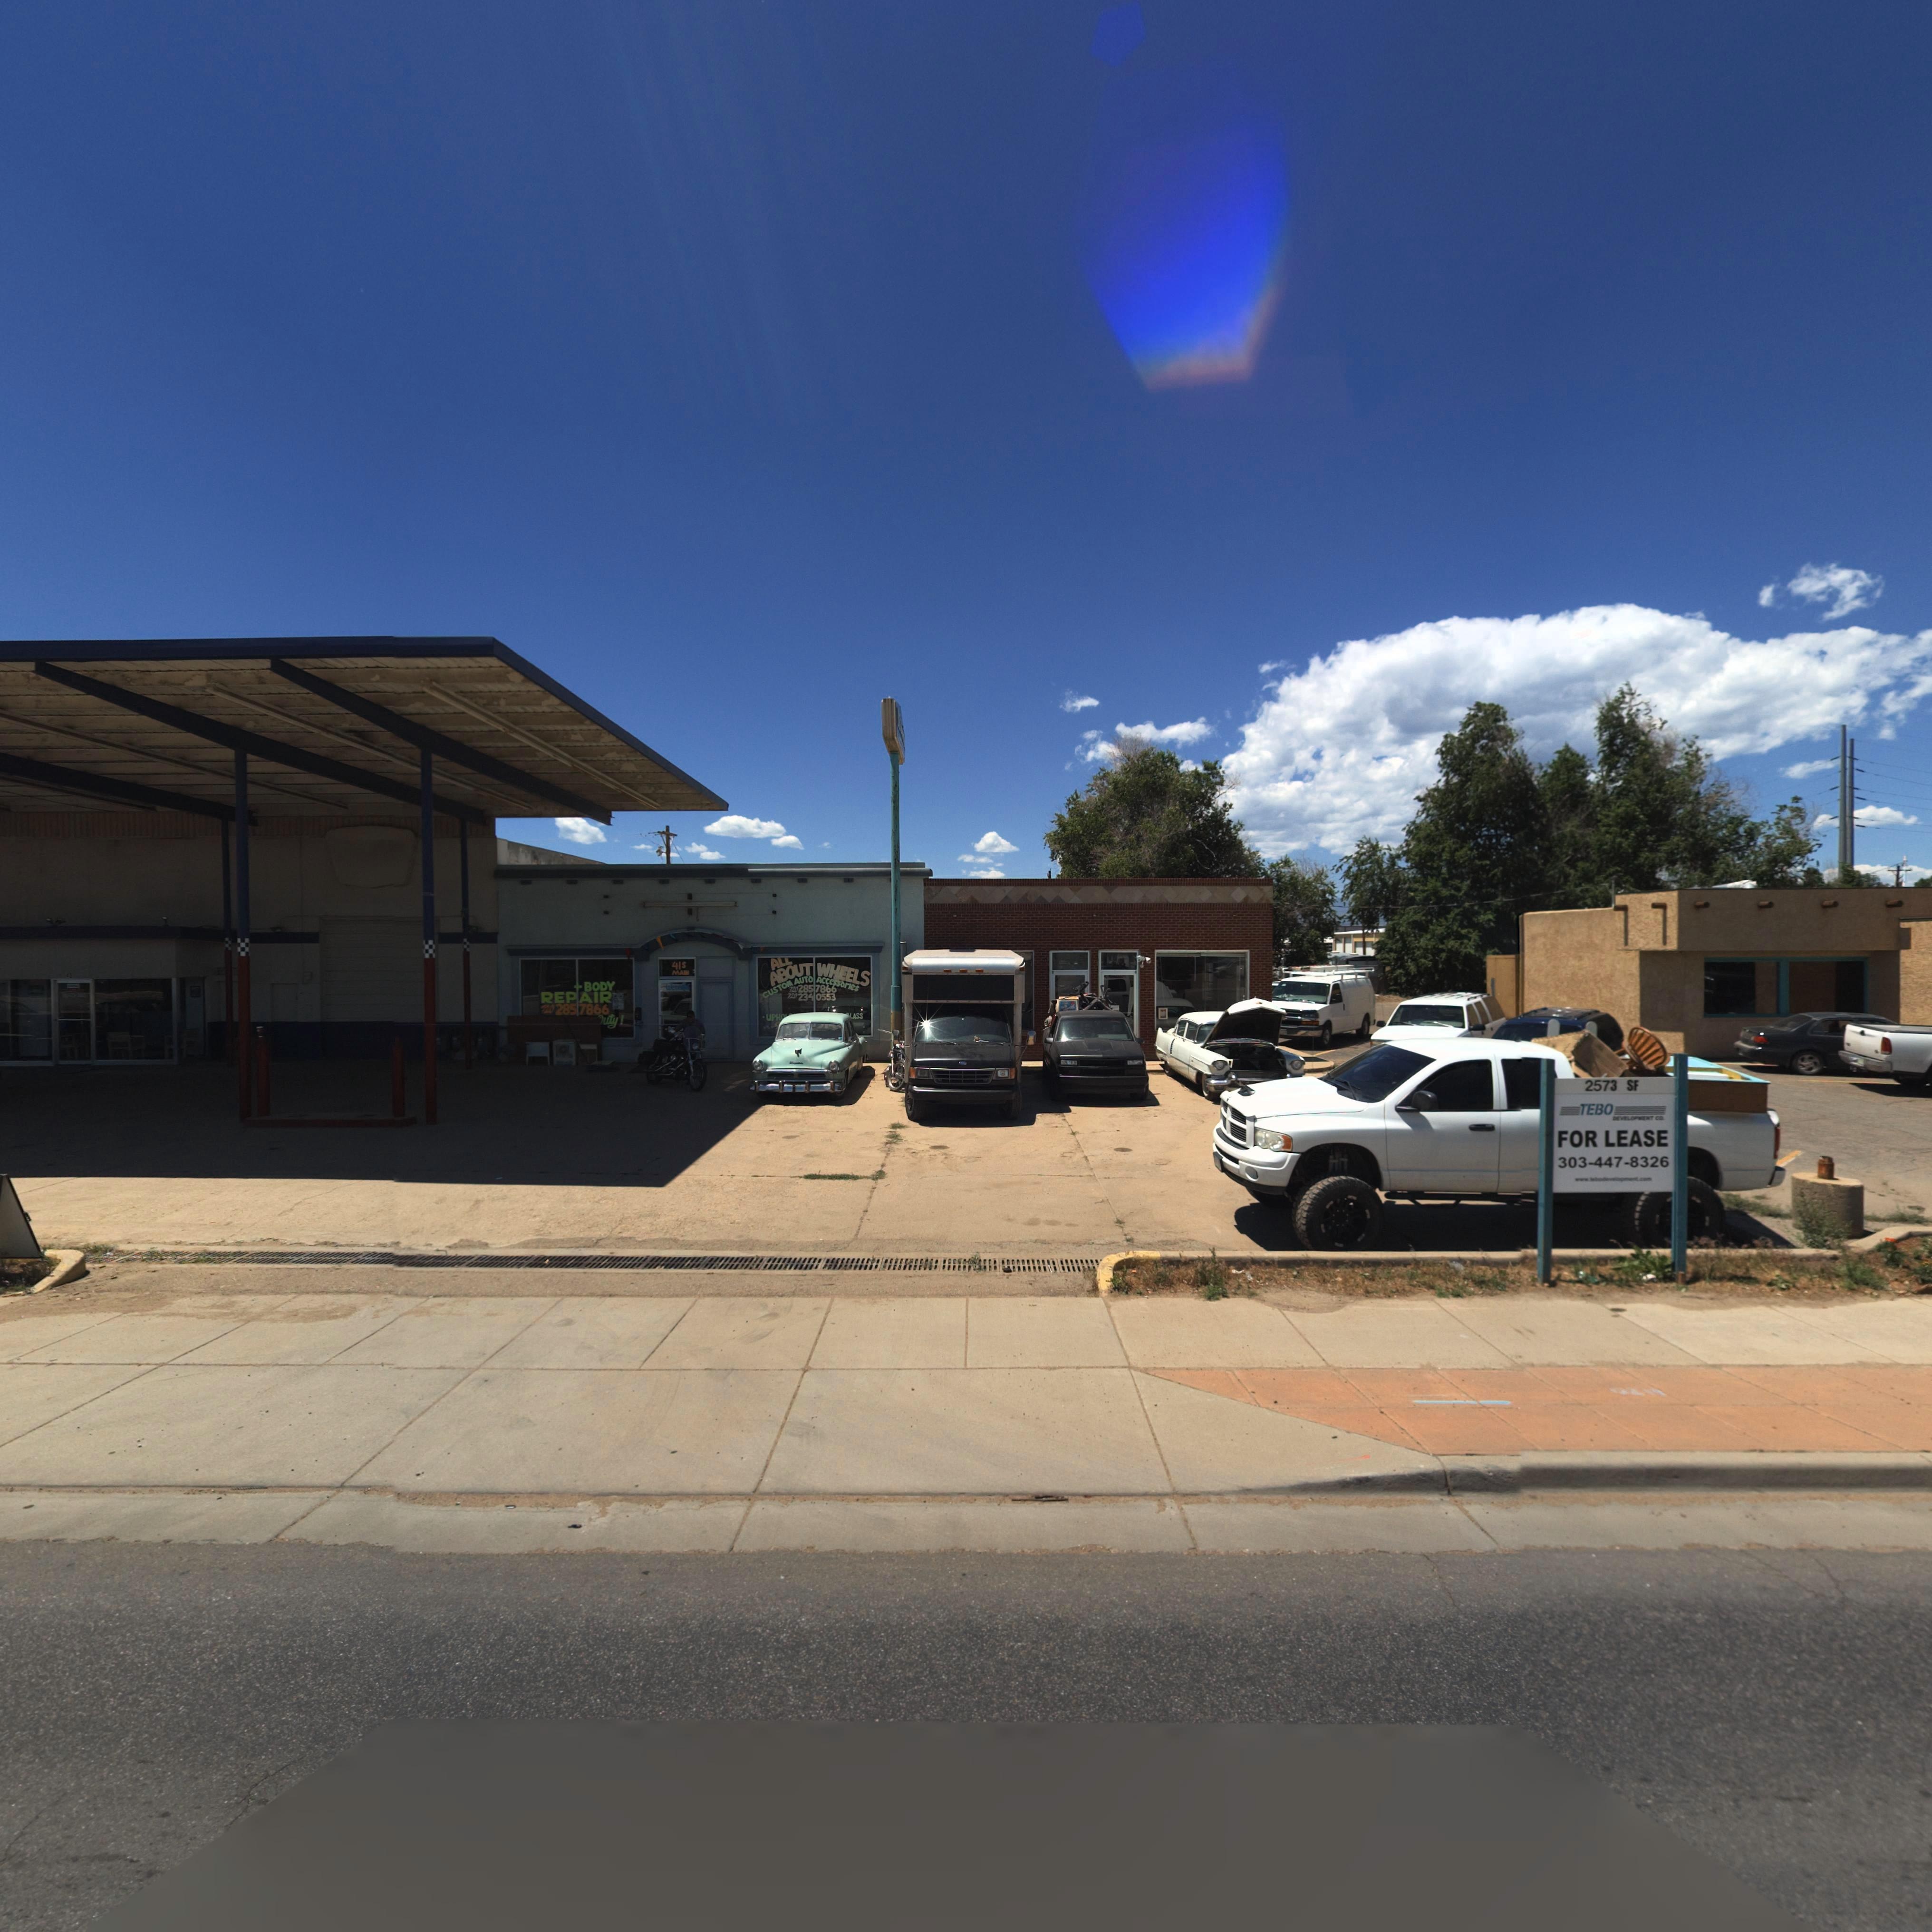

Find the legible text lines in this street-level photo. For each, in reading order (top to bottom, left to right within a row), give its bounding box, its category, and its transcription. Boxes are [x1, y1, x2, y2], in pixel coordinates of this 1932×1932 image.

[670, 960, 686, 969] StreetNumber: 415
[671, 969, 690, 976] StreetName: MAIN
[1558, 1156, 1669, 1168] PhoneNumber: 303-447-8326